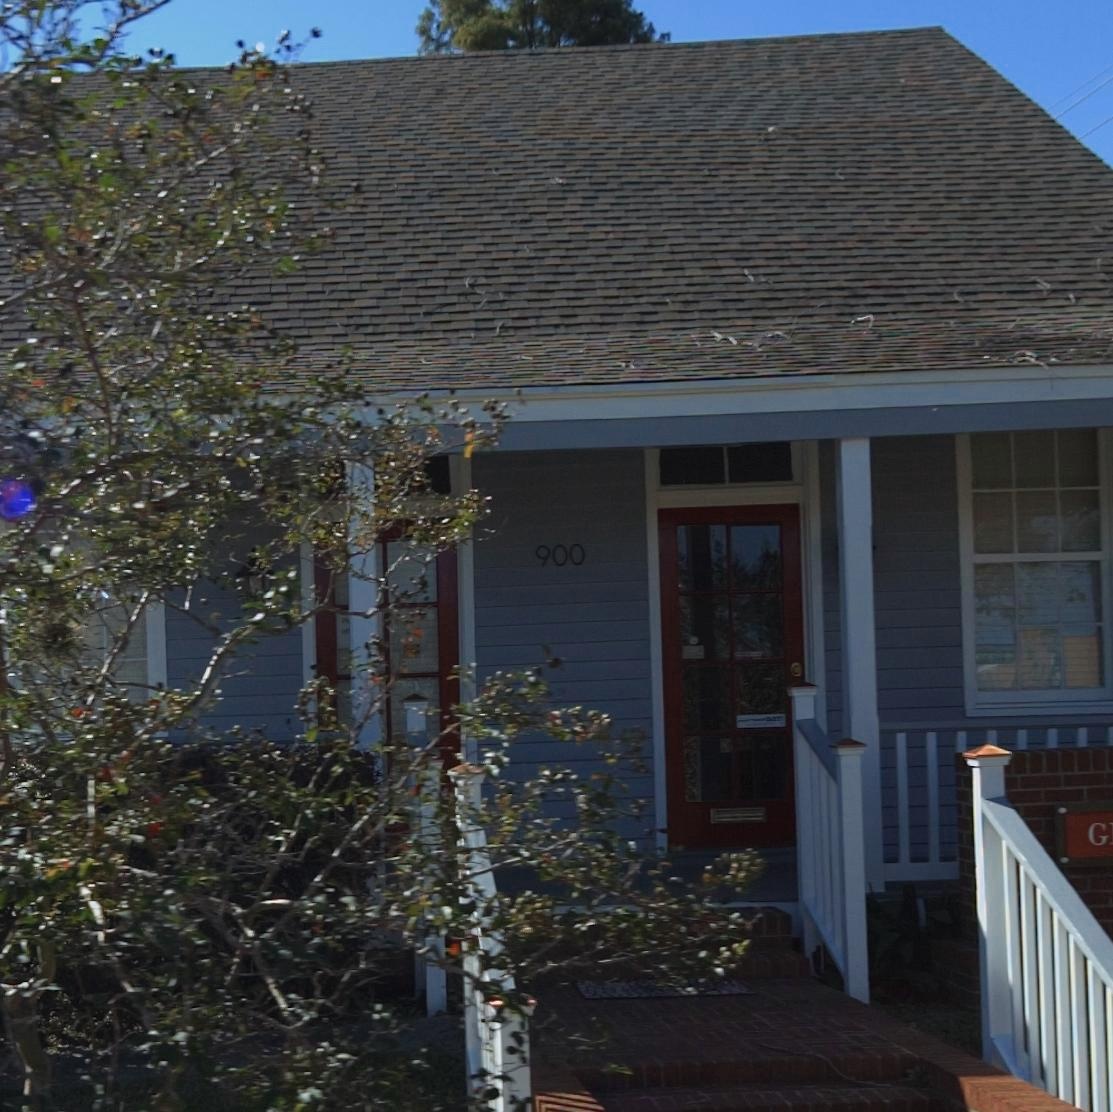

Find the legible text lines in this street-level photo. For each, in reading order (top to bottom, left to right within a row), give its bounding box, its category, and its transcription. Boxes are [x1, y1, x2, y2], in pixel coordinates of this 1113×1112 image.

[533, 542, 588, 570] StreetNumber: 900
[1086, 819, 1112, 849] None: G